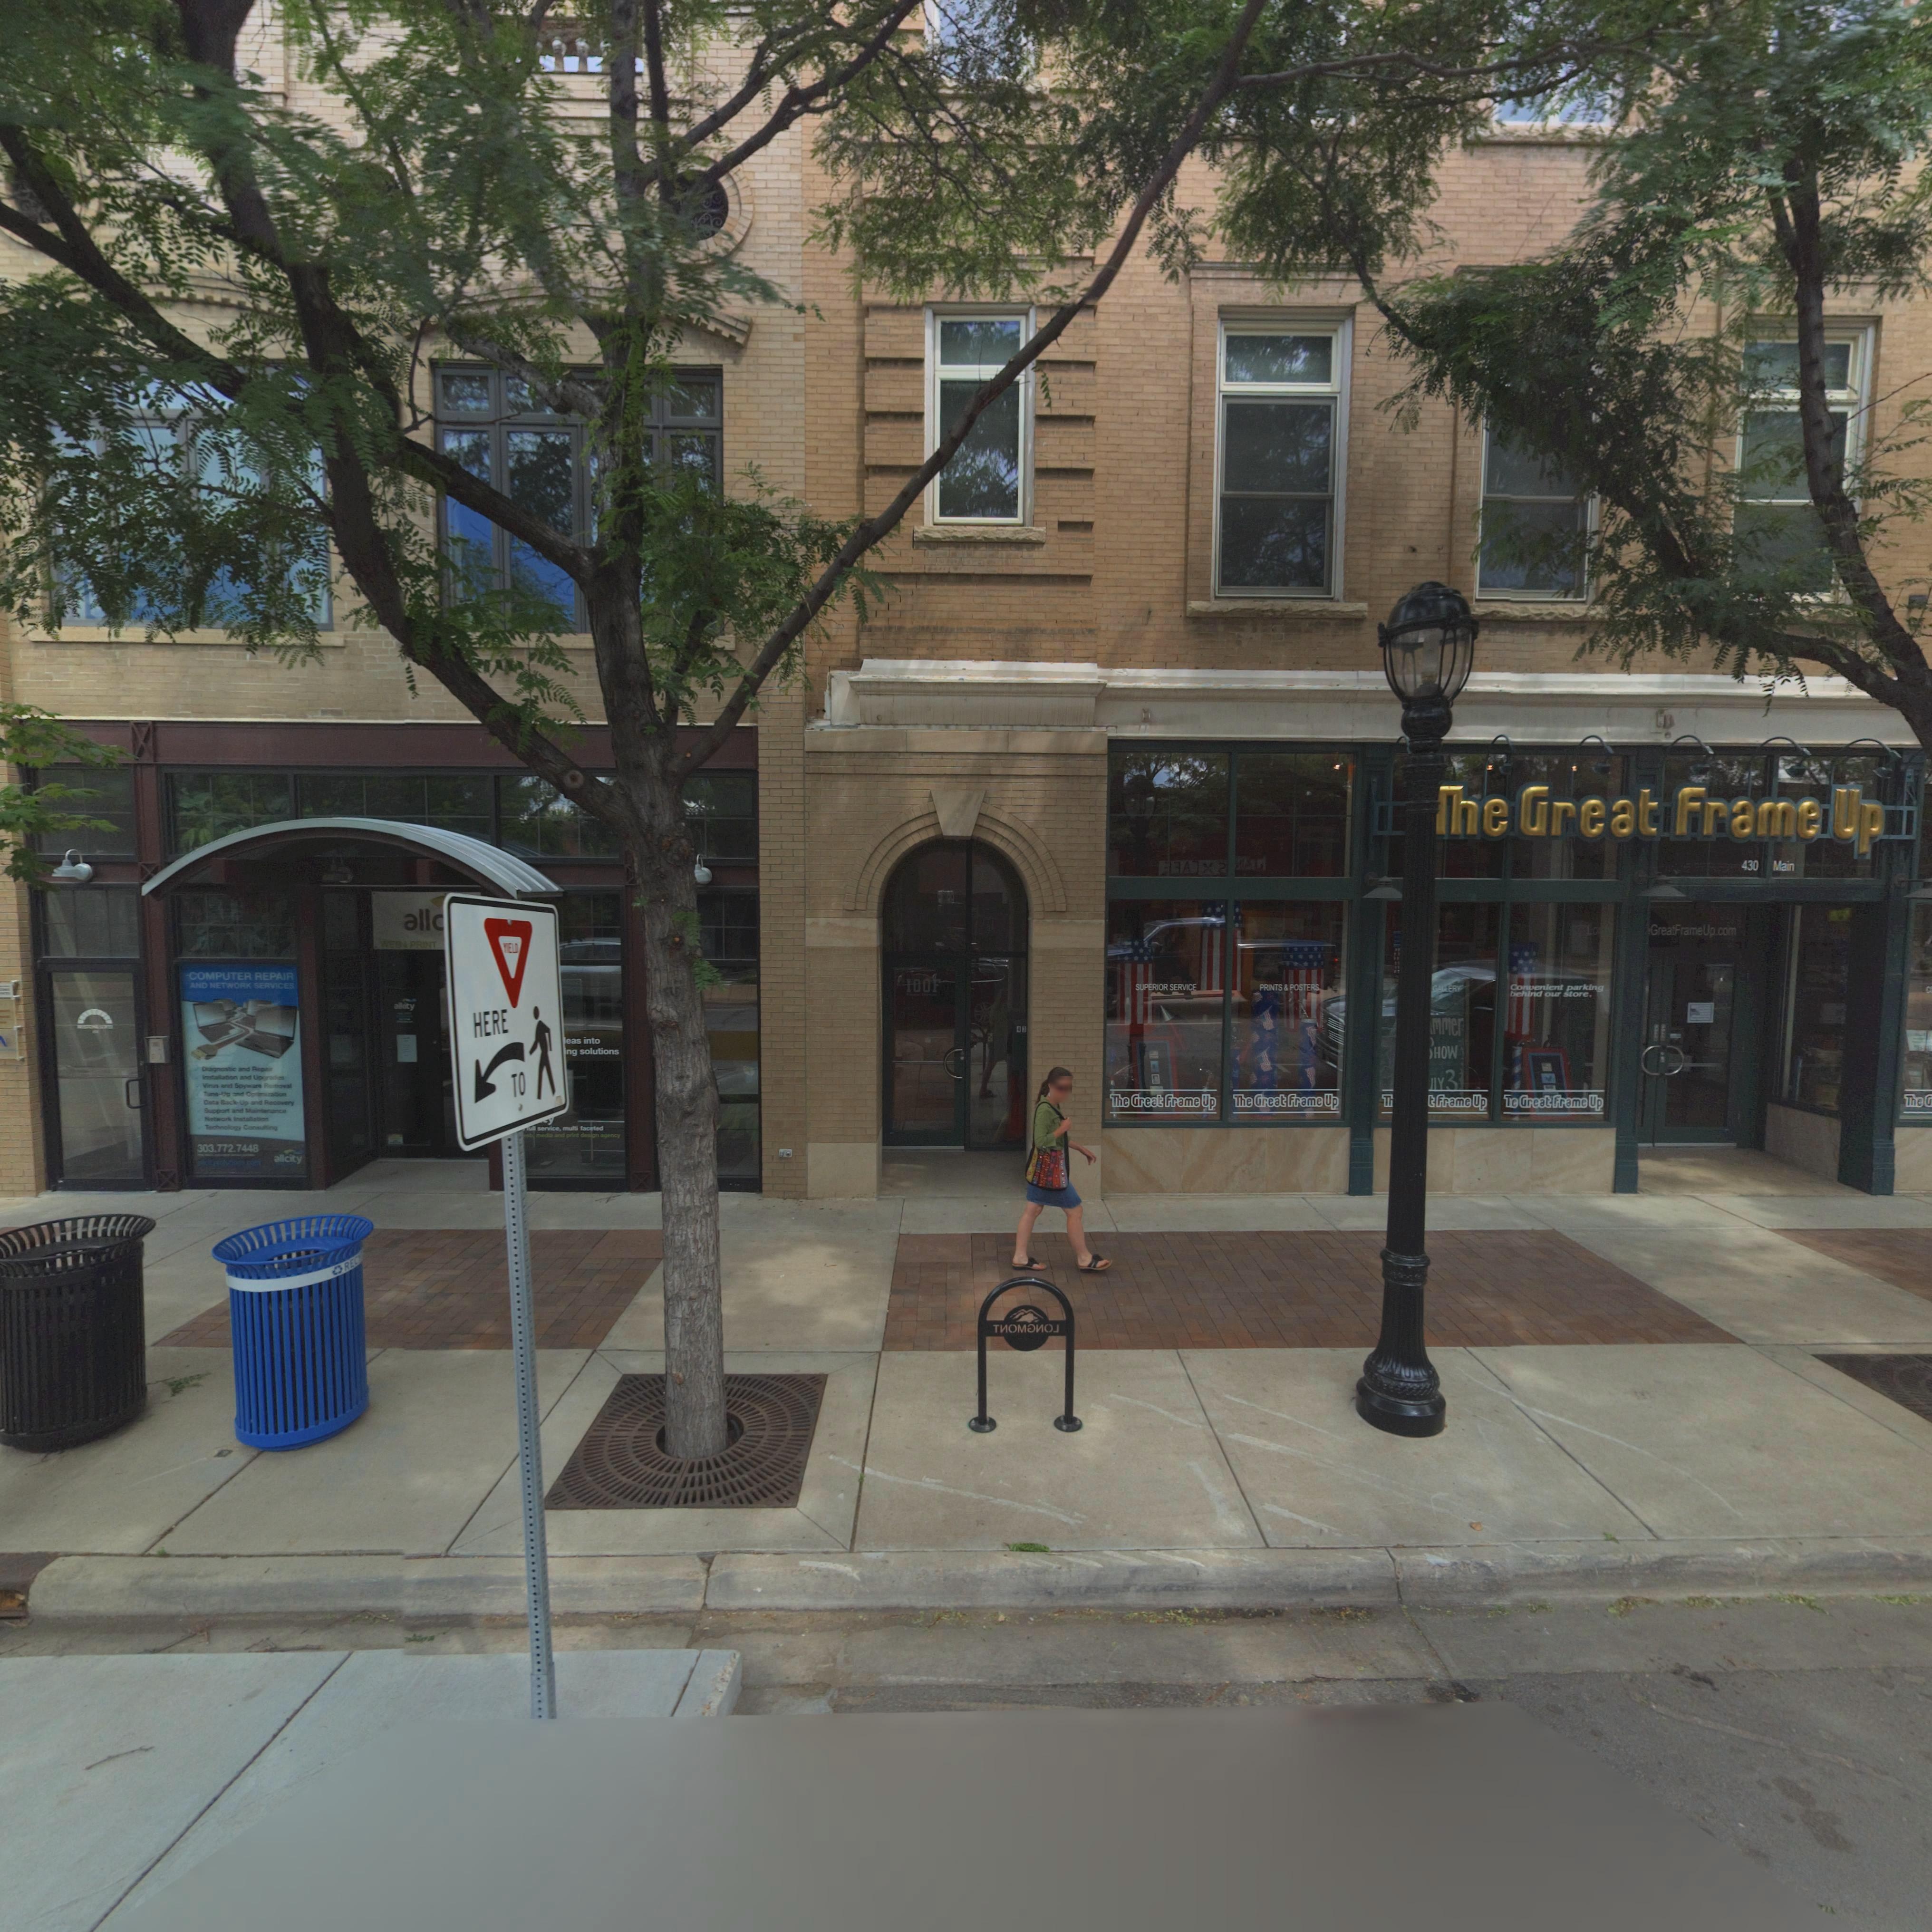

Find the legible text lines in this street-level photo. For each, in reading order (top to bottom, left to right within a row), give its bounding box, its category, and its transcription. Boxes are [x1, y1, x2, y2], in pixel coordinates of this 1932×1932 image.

[1432, 783, 1885, 858] BusinessName: *he Great Frame Up
[1740, 859, 1758, 871] StreetNumber: 430
[1772, 859, 1795, 871] StreetName: Main
[402, 908, 449, 932] BusinessName: all****
[905, 978, 941, 993] BusinessName: 100F
[393, 1001, 415, 1011] BusinessName: allcity
[1016, 1025, 1027, 1033] StreetNumber: 43*
[1110, 1093, 1216, 1110] BusinessName: The Great Frame Up
[1233, 1093, 1338, 1109] BusinessName: The Great Frame Up
[1381, 1094, 1486, 1111] BusinessName: Th* ****t Frame Up
[1503, 1094, 1603, 1111] BusinessName: T*e Great Frame Up
[1904, 1095, 1931, 1106] BusinessName: Th* ***** ***** **
[273, 1154, 303, 1165] BusinessName: allcity